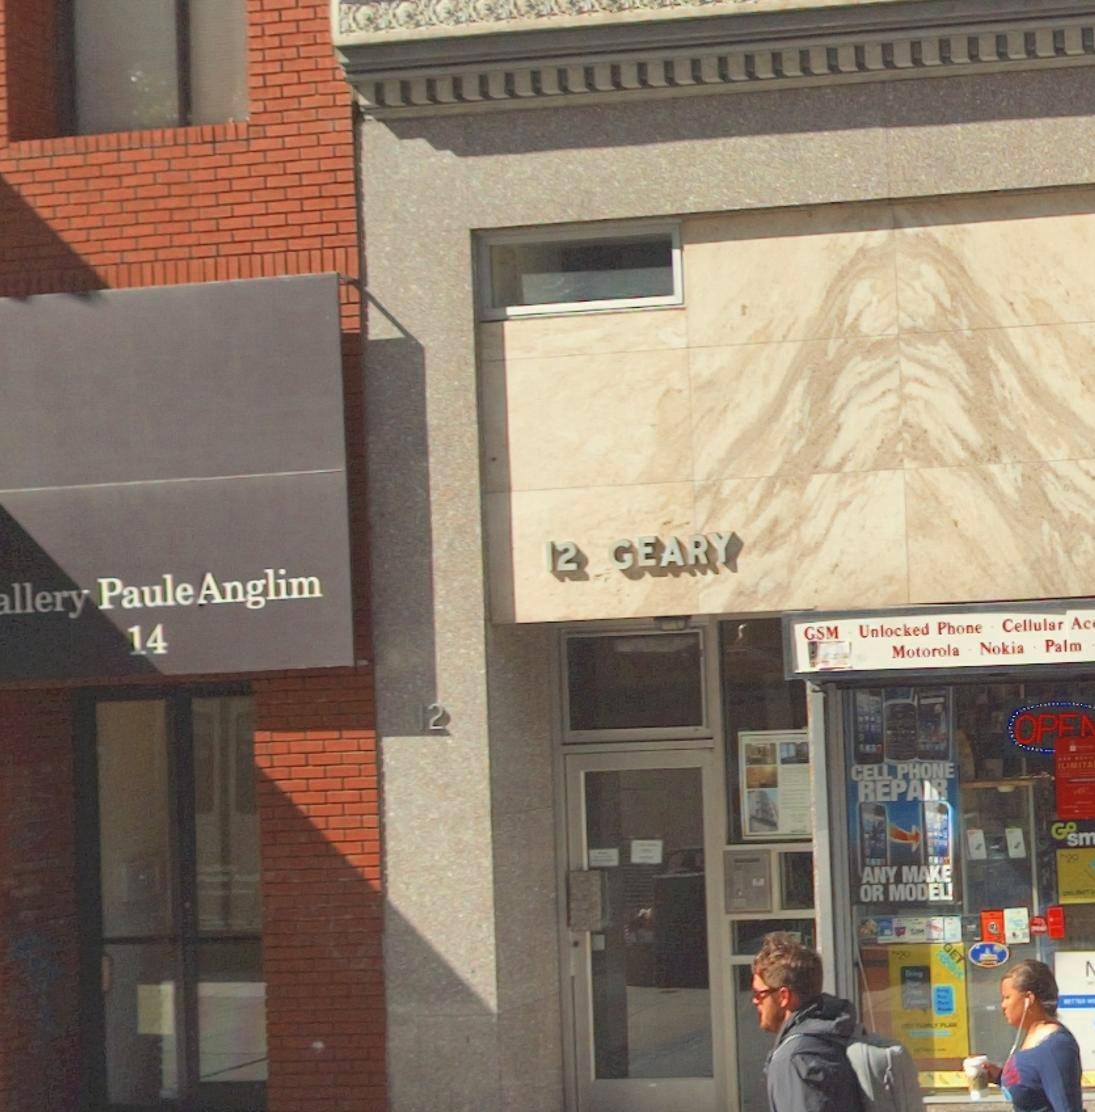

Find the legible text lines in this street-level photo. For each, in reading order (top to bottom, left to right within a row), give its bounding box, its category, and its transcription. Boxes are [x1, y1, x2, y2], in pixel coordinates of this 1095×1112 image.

[543, 541, 579, 572] StreetNumber: 12
[610, 528, 734, 573] StreetName: GEARY
[9, 567, 326, 620] BusinessName: llery PauleAnglim
[127, 621, 170, 658] StreetNumber: 14
[803, 615, 1092, 642] None: GSM Unlocked Phone Cellular Ac
[891, 638, 1083, 659] None: Motorola - Nokia - Palm
[414, 700, 446, 733] StreetNumber: 12
[1013, 713, 1059, 746] None: OP
[850, 761, 957, 781] None: CELL PHONE
[856, 779, 950, 804] None: REPAIR
[1050, 821, 1078, 841] None: Go\
[1067, 830, 1095, 848] None: sm
[861, 864, 954, 885] None: ANY MAKE
[859, 882, 954, 904] None: OR MODEL!
[941, 941, 967, 966] None: GET